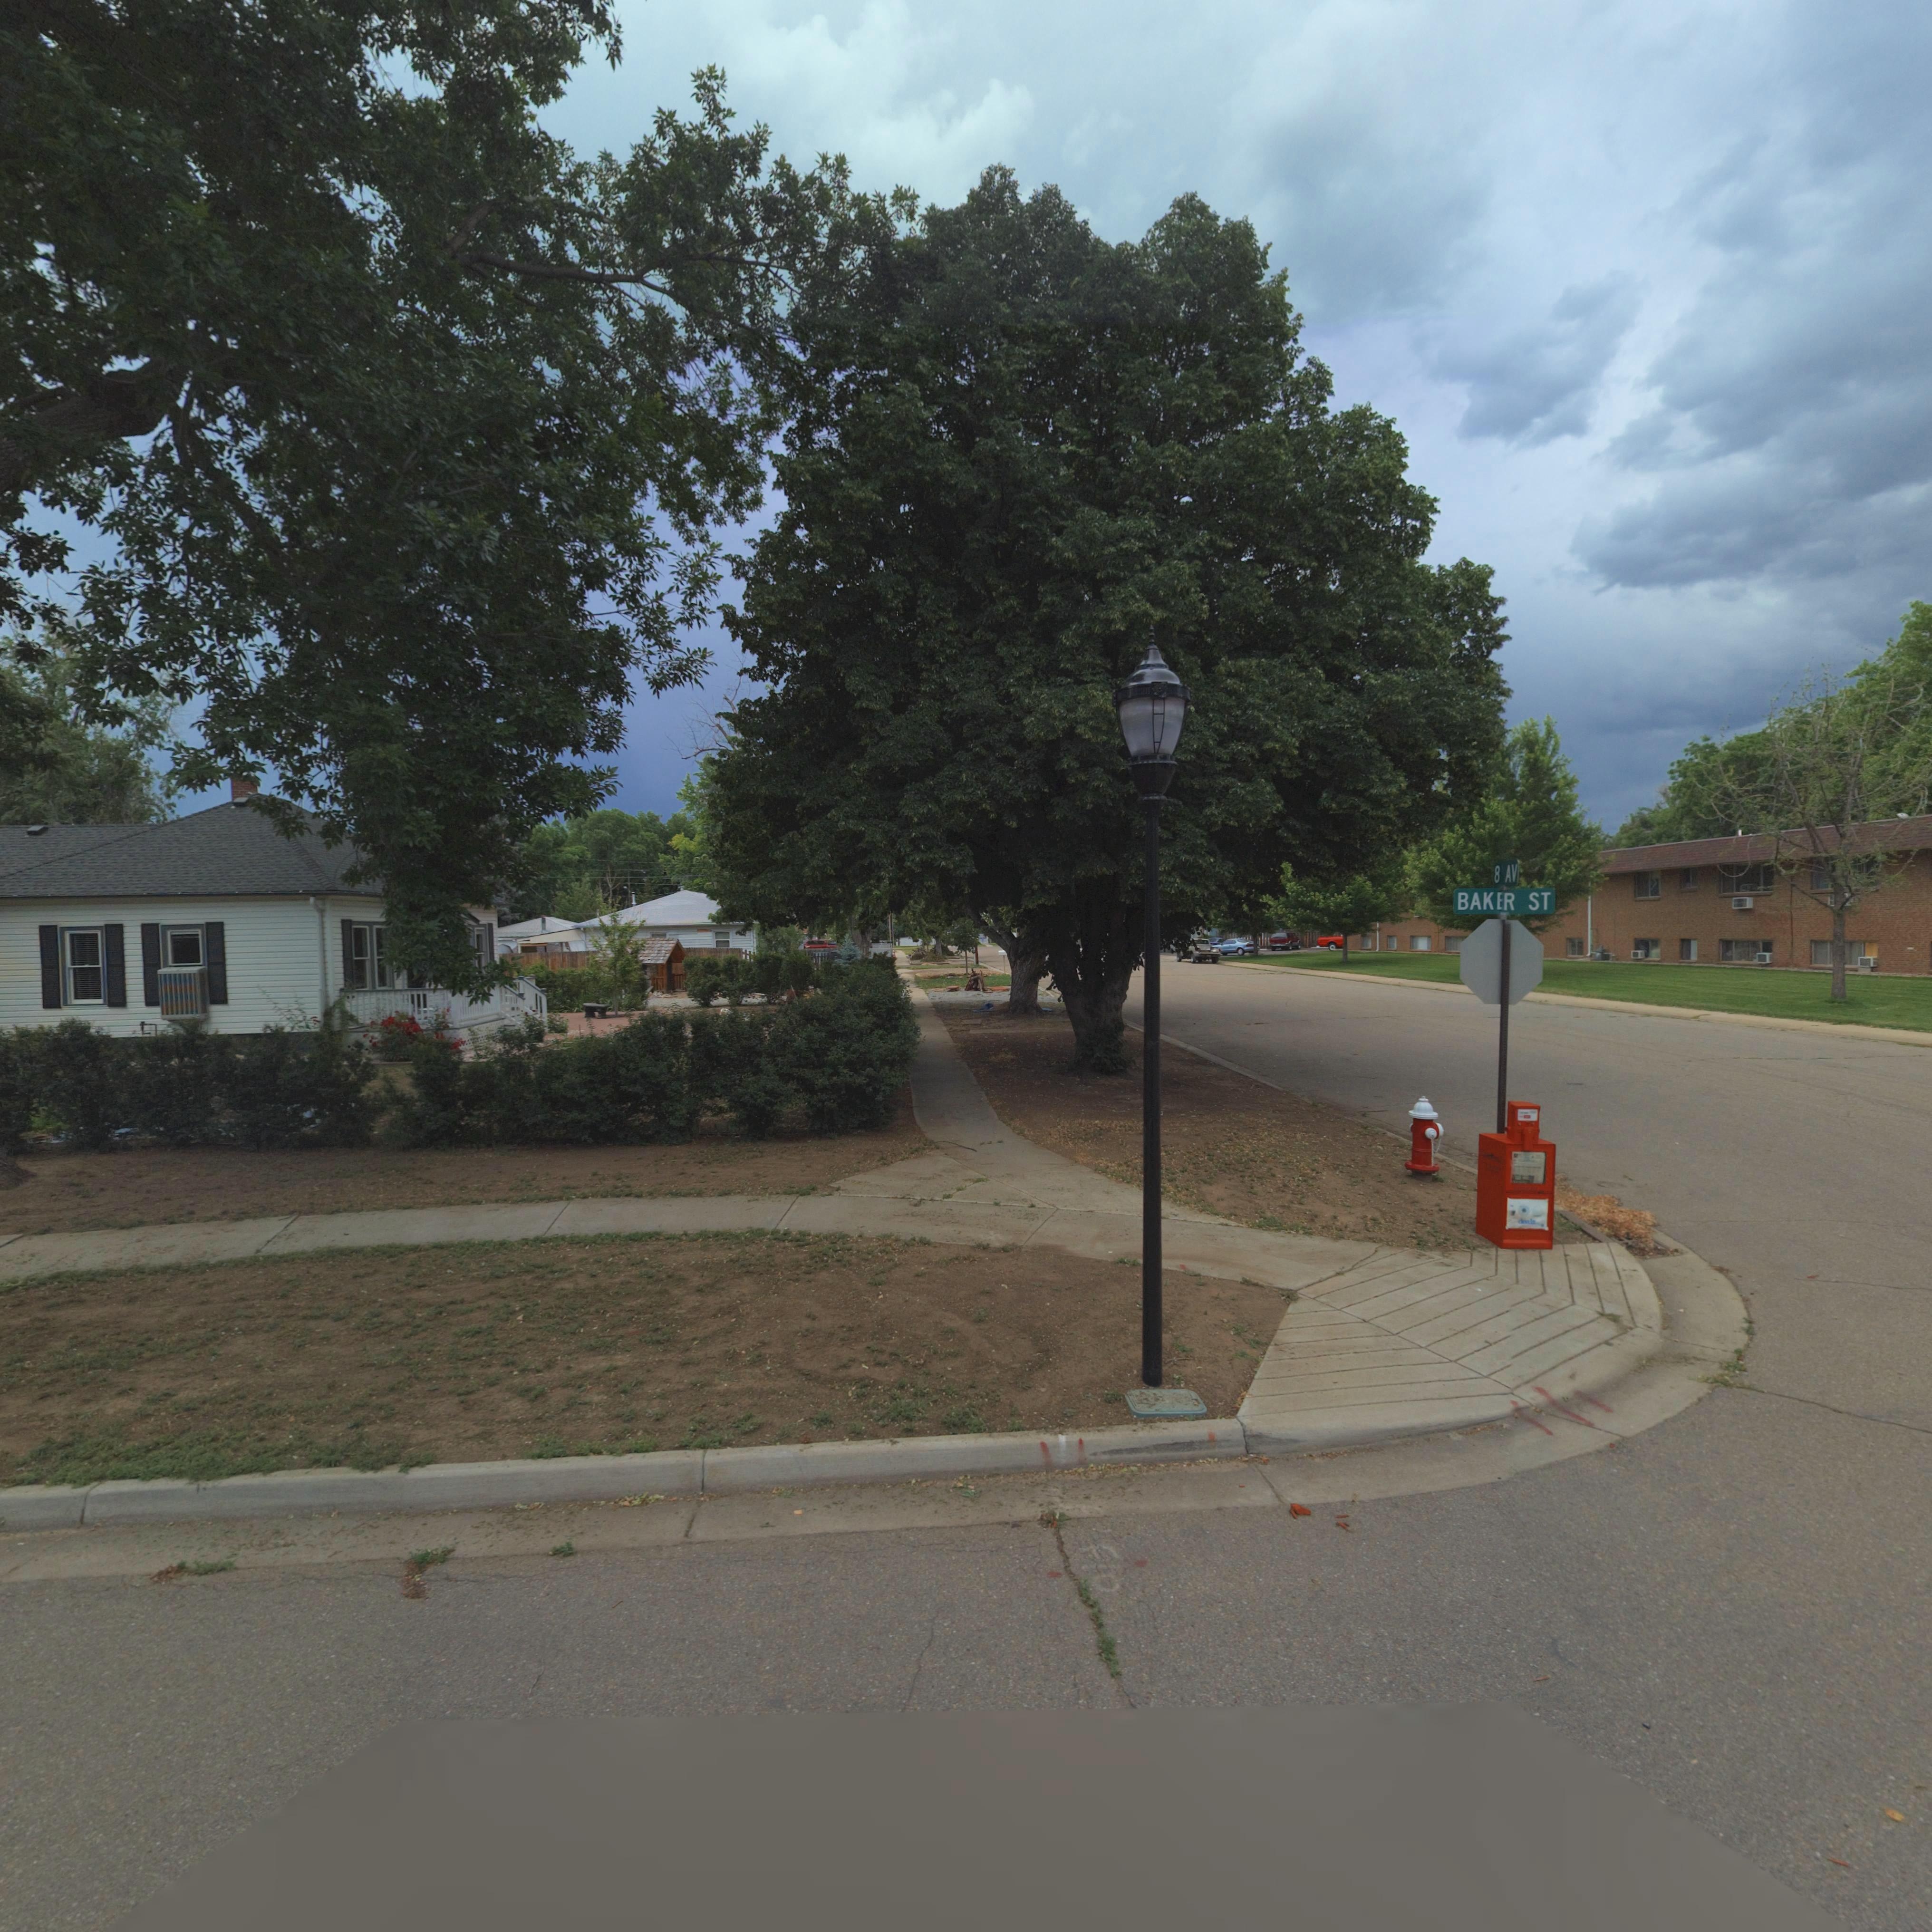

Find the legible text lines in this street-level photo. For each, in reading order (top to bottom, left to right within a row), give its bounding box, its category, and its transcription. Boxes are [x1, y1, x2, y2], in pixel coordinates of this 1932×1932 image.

[1493, 863, 1518, 883] StreetName: 8* AV
[1457, 892, 1550, 910] StreetName: BAKER ST